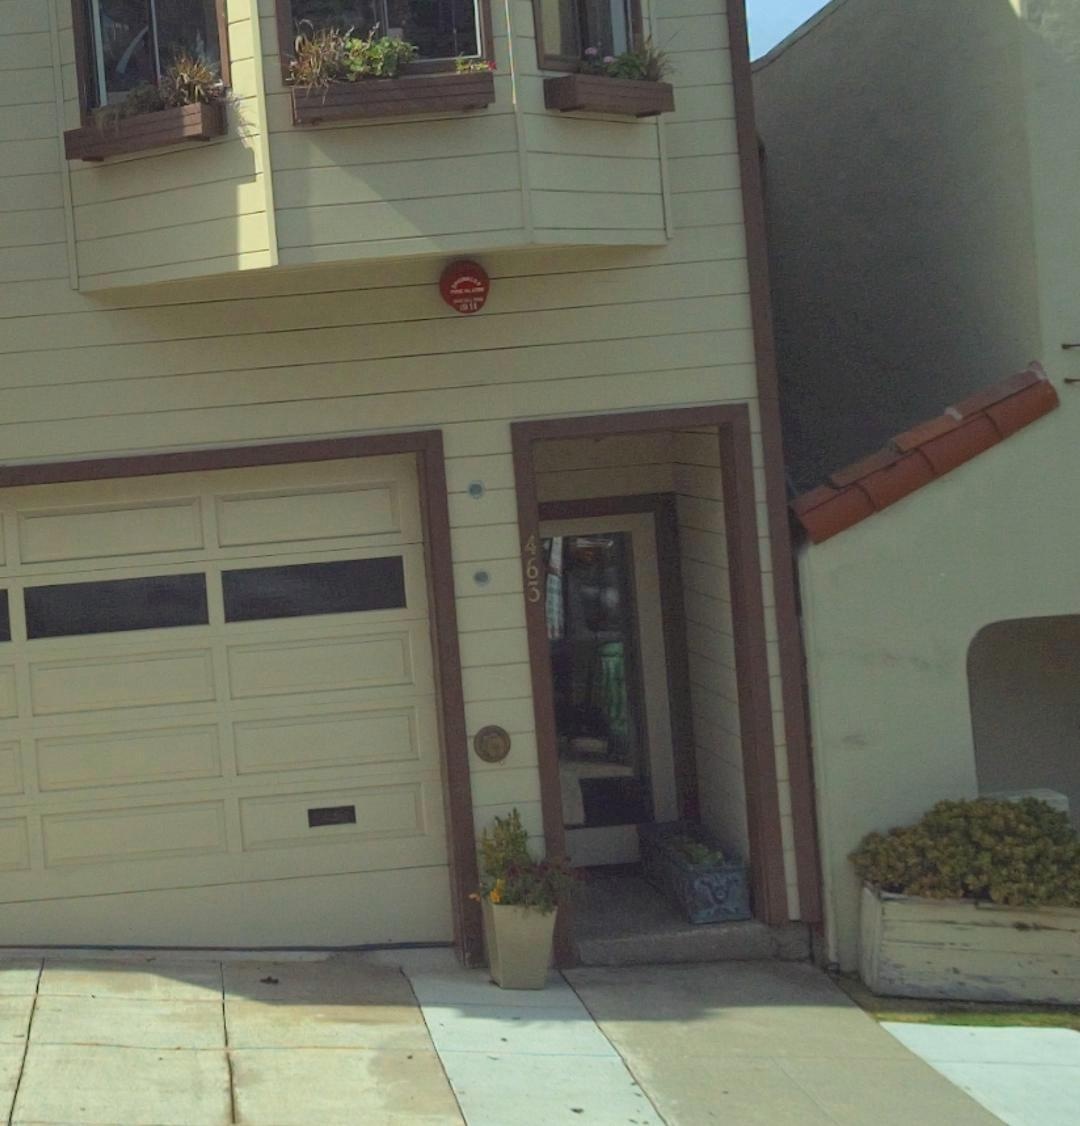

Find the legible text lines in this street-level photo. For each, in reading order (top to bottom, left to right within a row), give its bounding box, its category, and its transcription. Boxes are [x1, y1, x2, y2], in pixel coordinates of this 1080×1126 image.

[521, 528, 544, 606] StreetNumber: 463